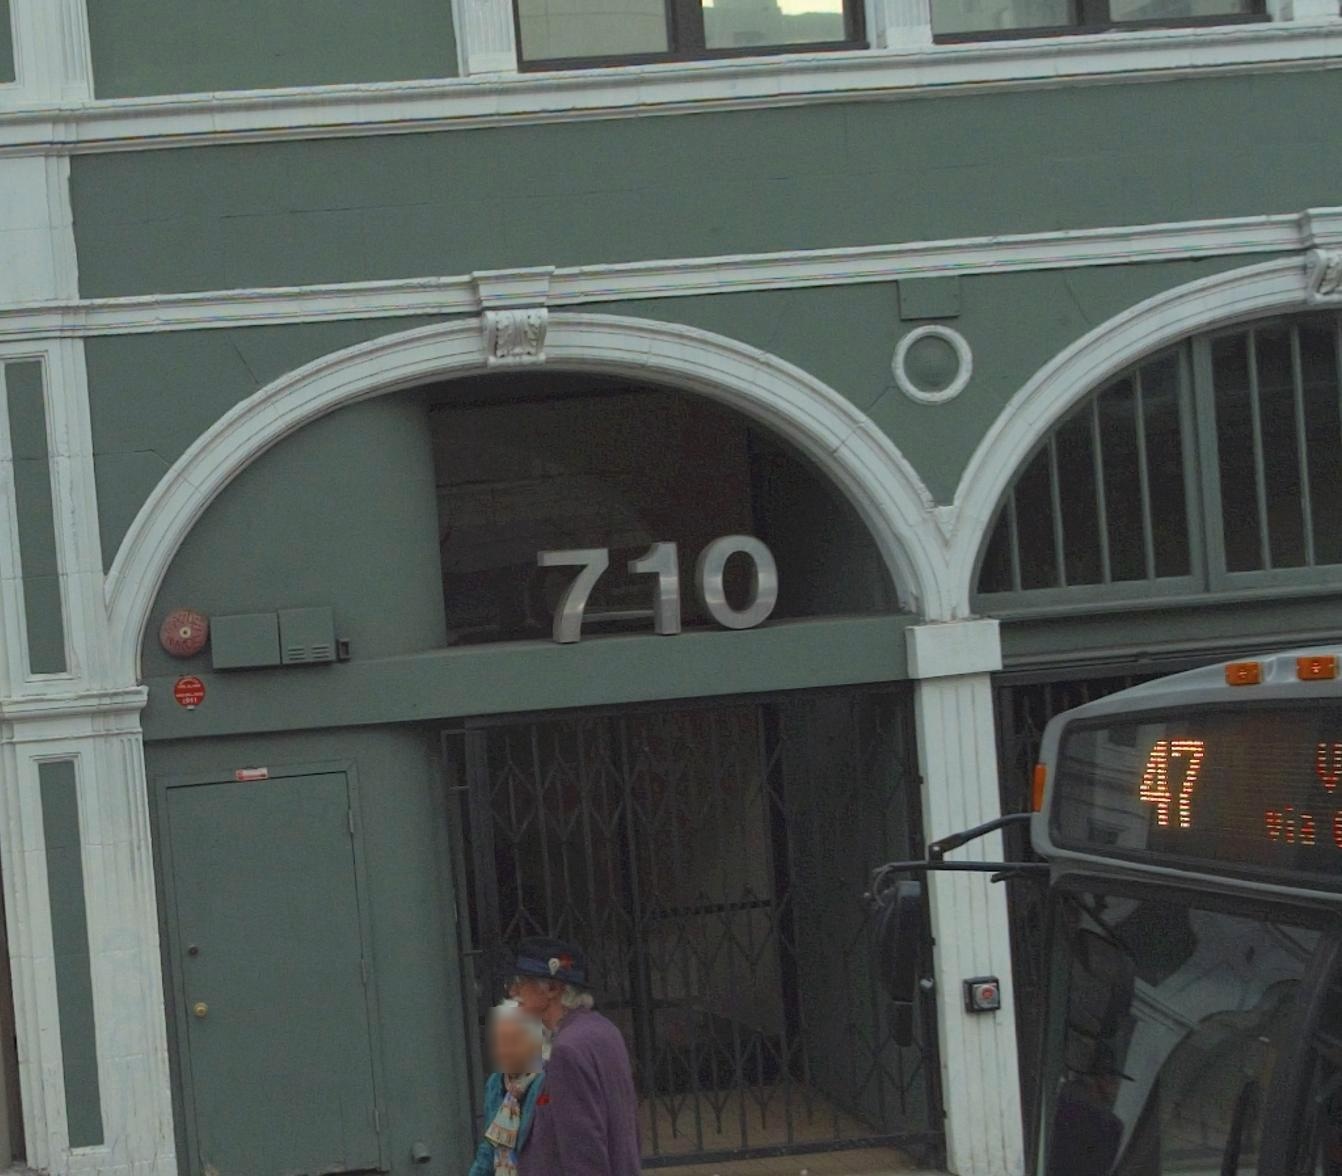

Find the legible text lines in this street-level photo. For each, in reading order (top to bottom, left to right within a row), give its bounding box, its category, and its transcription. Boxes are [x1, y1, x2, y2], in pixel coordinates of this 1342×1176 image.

[537, 531, 784, 646] StreetNumber: 710
[1138, 739, 1206, 829] None: 47
[1265, 805, 1317, 848] None: via